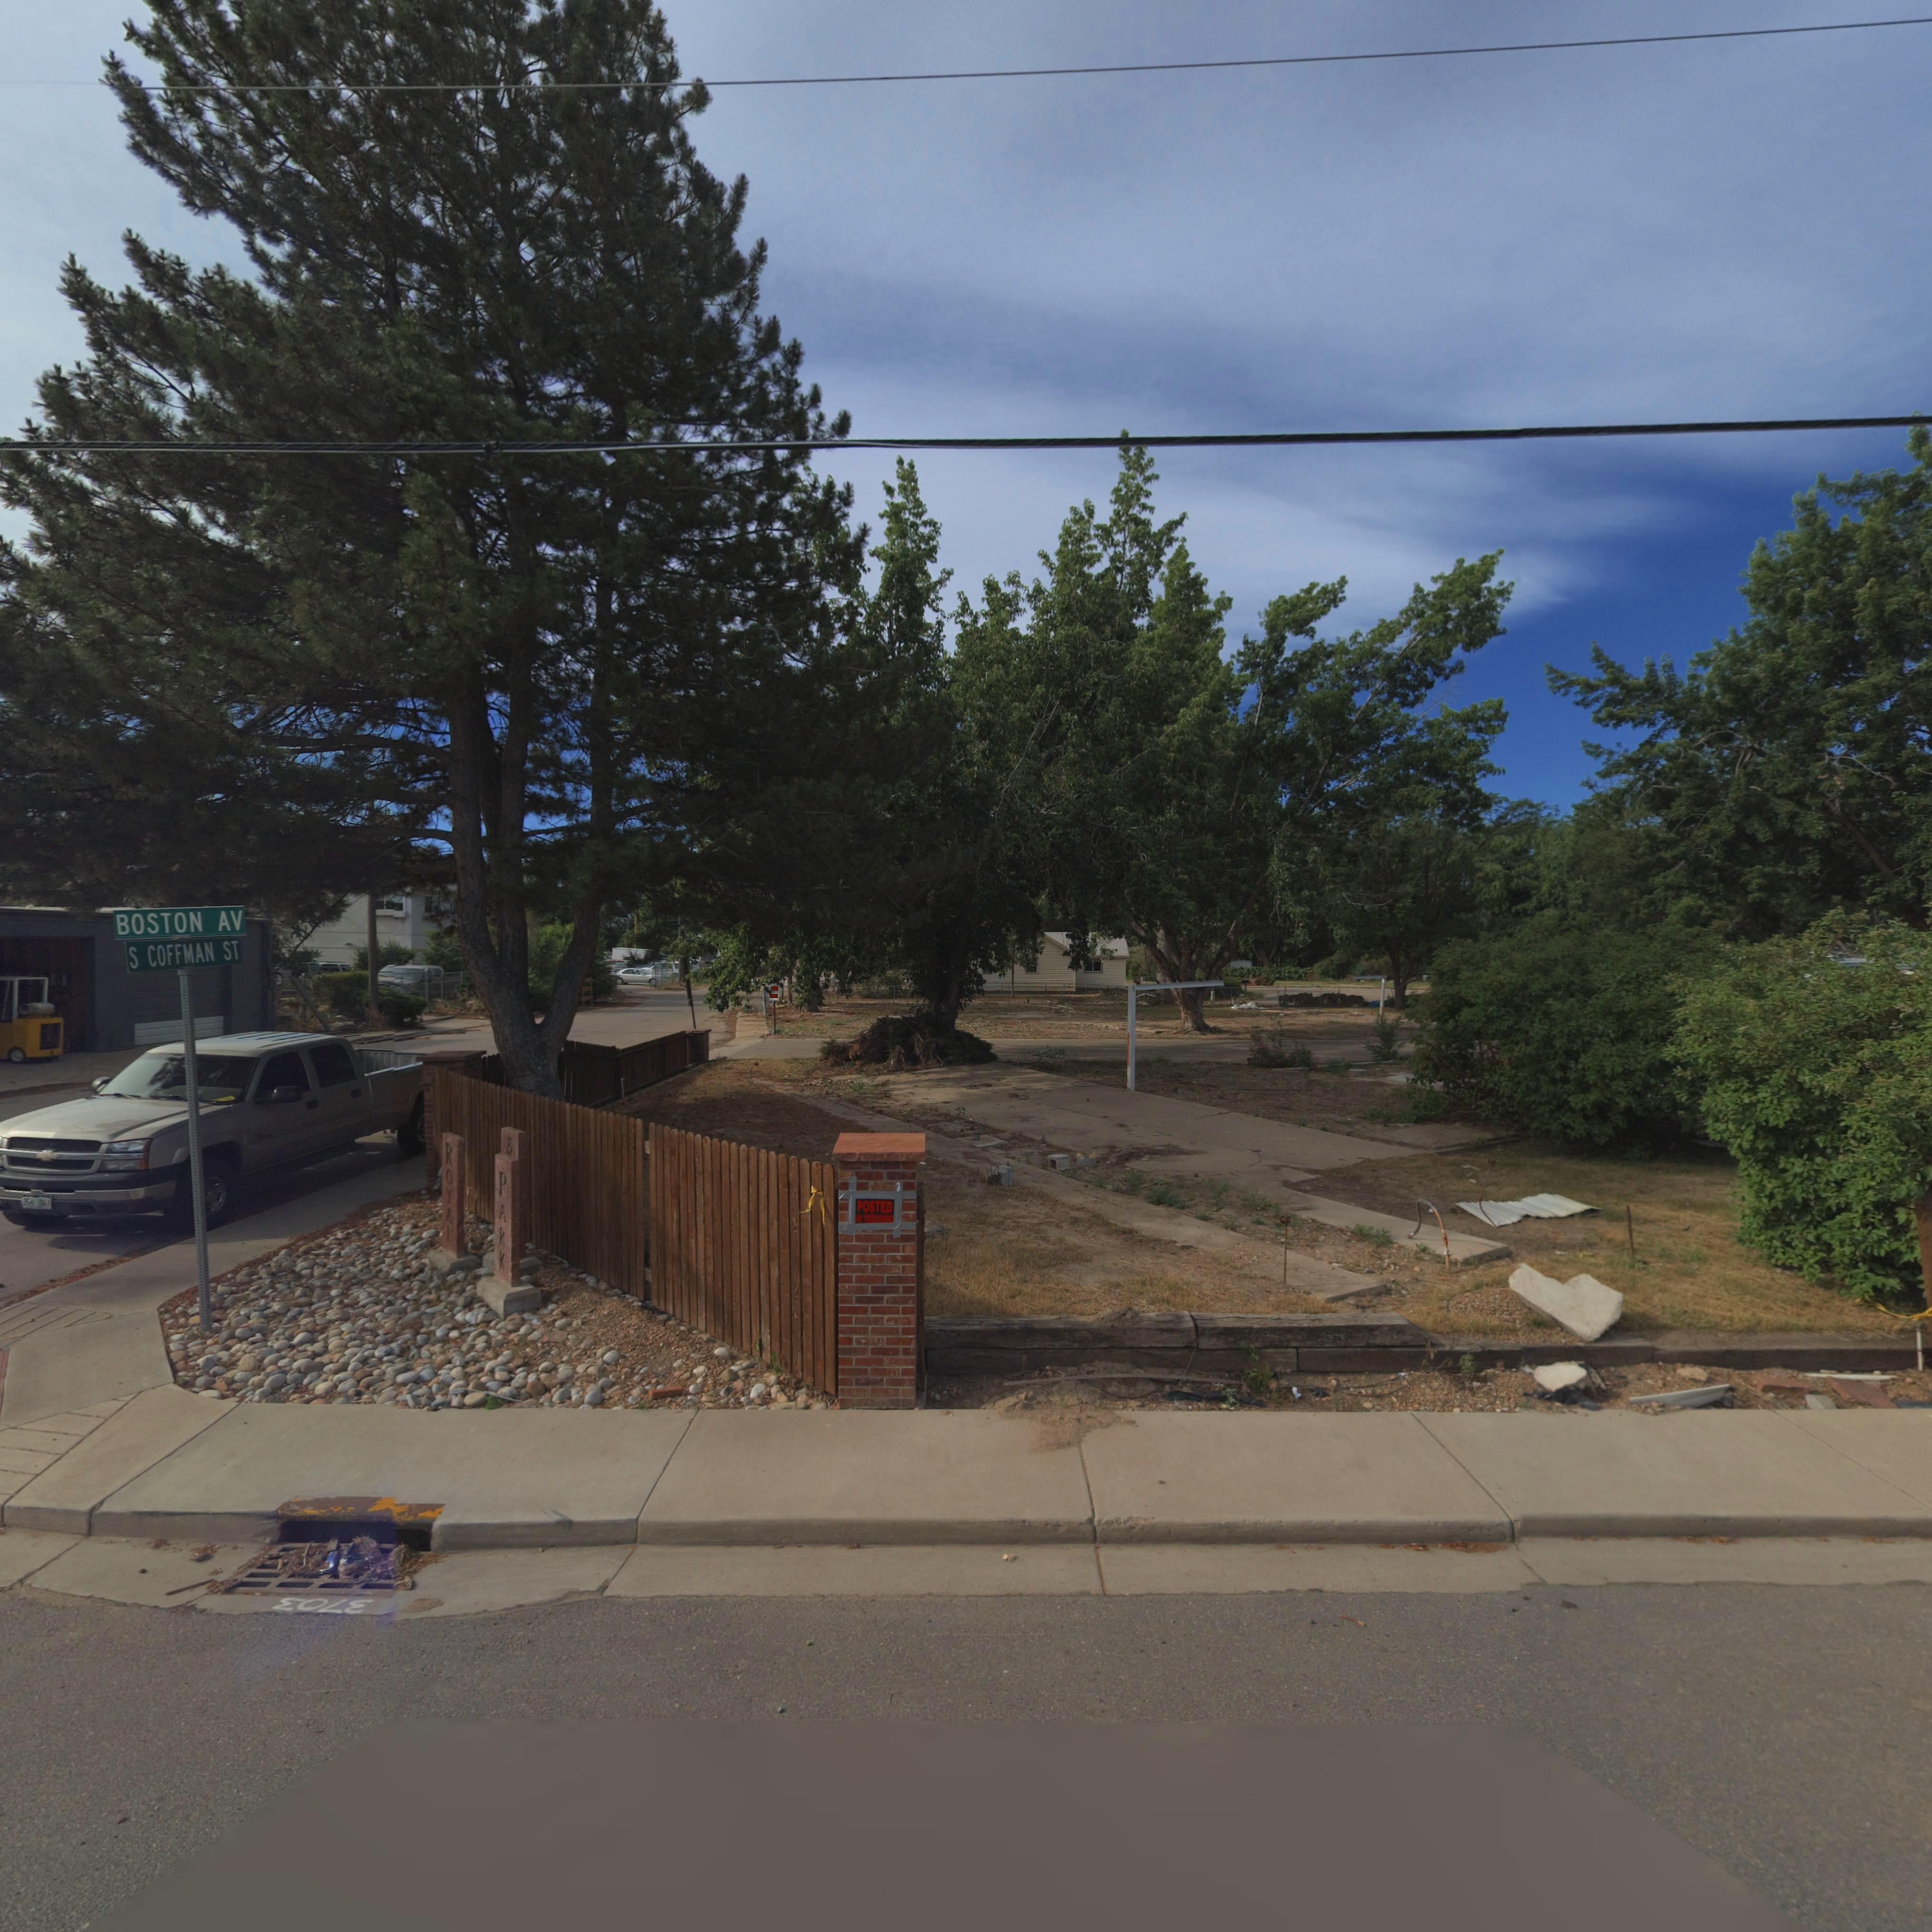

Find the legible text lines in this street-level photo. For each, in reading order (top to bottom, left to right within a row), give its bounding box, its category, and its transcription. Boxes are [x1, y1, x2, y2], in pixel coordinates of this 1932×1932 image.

[116, 909, 242, 936] StreetName: BOSTON AV
[128, 940, 239, 969] StreetName: S COFFMAN ST